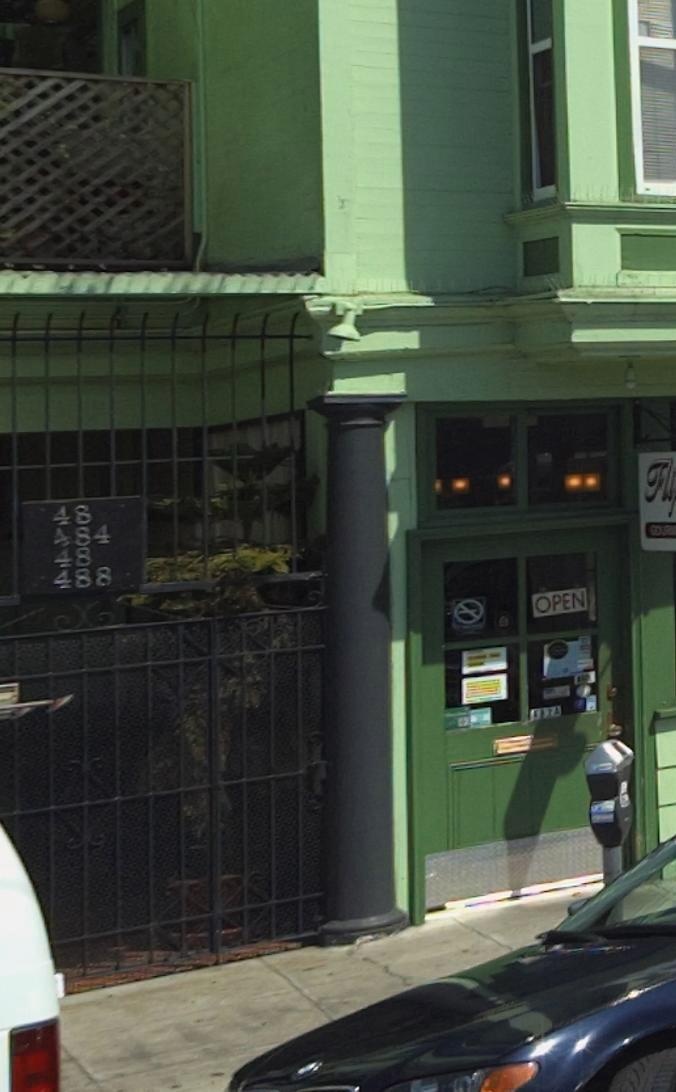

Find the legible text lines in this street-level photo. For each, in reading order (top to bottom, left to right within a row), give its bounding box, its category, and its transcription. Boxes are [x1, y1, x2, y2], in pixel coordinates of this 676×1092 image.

[49, 504, 92, 524] StreetNumber: 48
[51, 523, 113, 547] StreetNumber: 484
[52, 548, 93, 567] StreetNumber: 48
[52, 567, 112, 590] StreetNumber: 488
[535, 589, 586, 616] None: OPEN